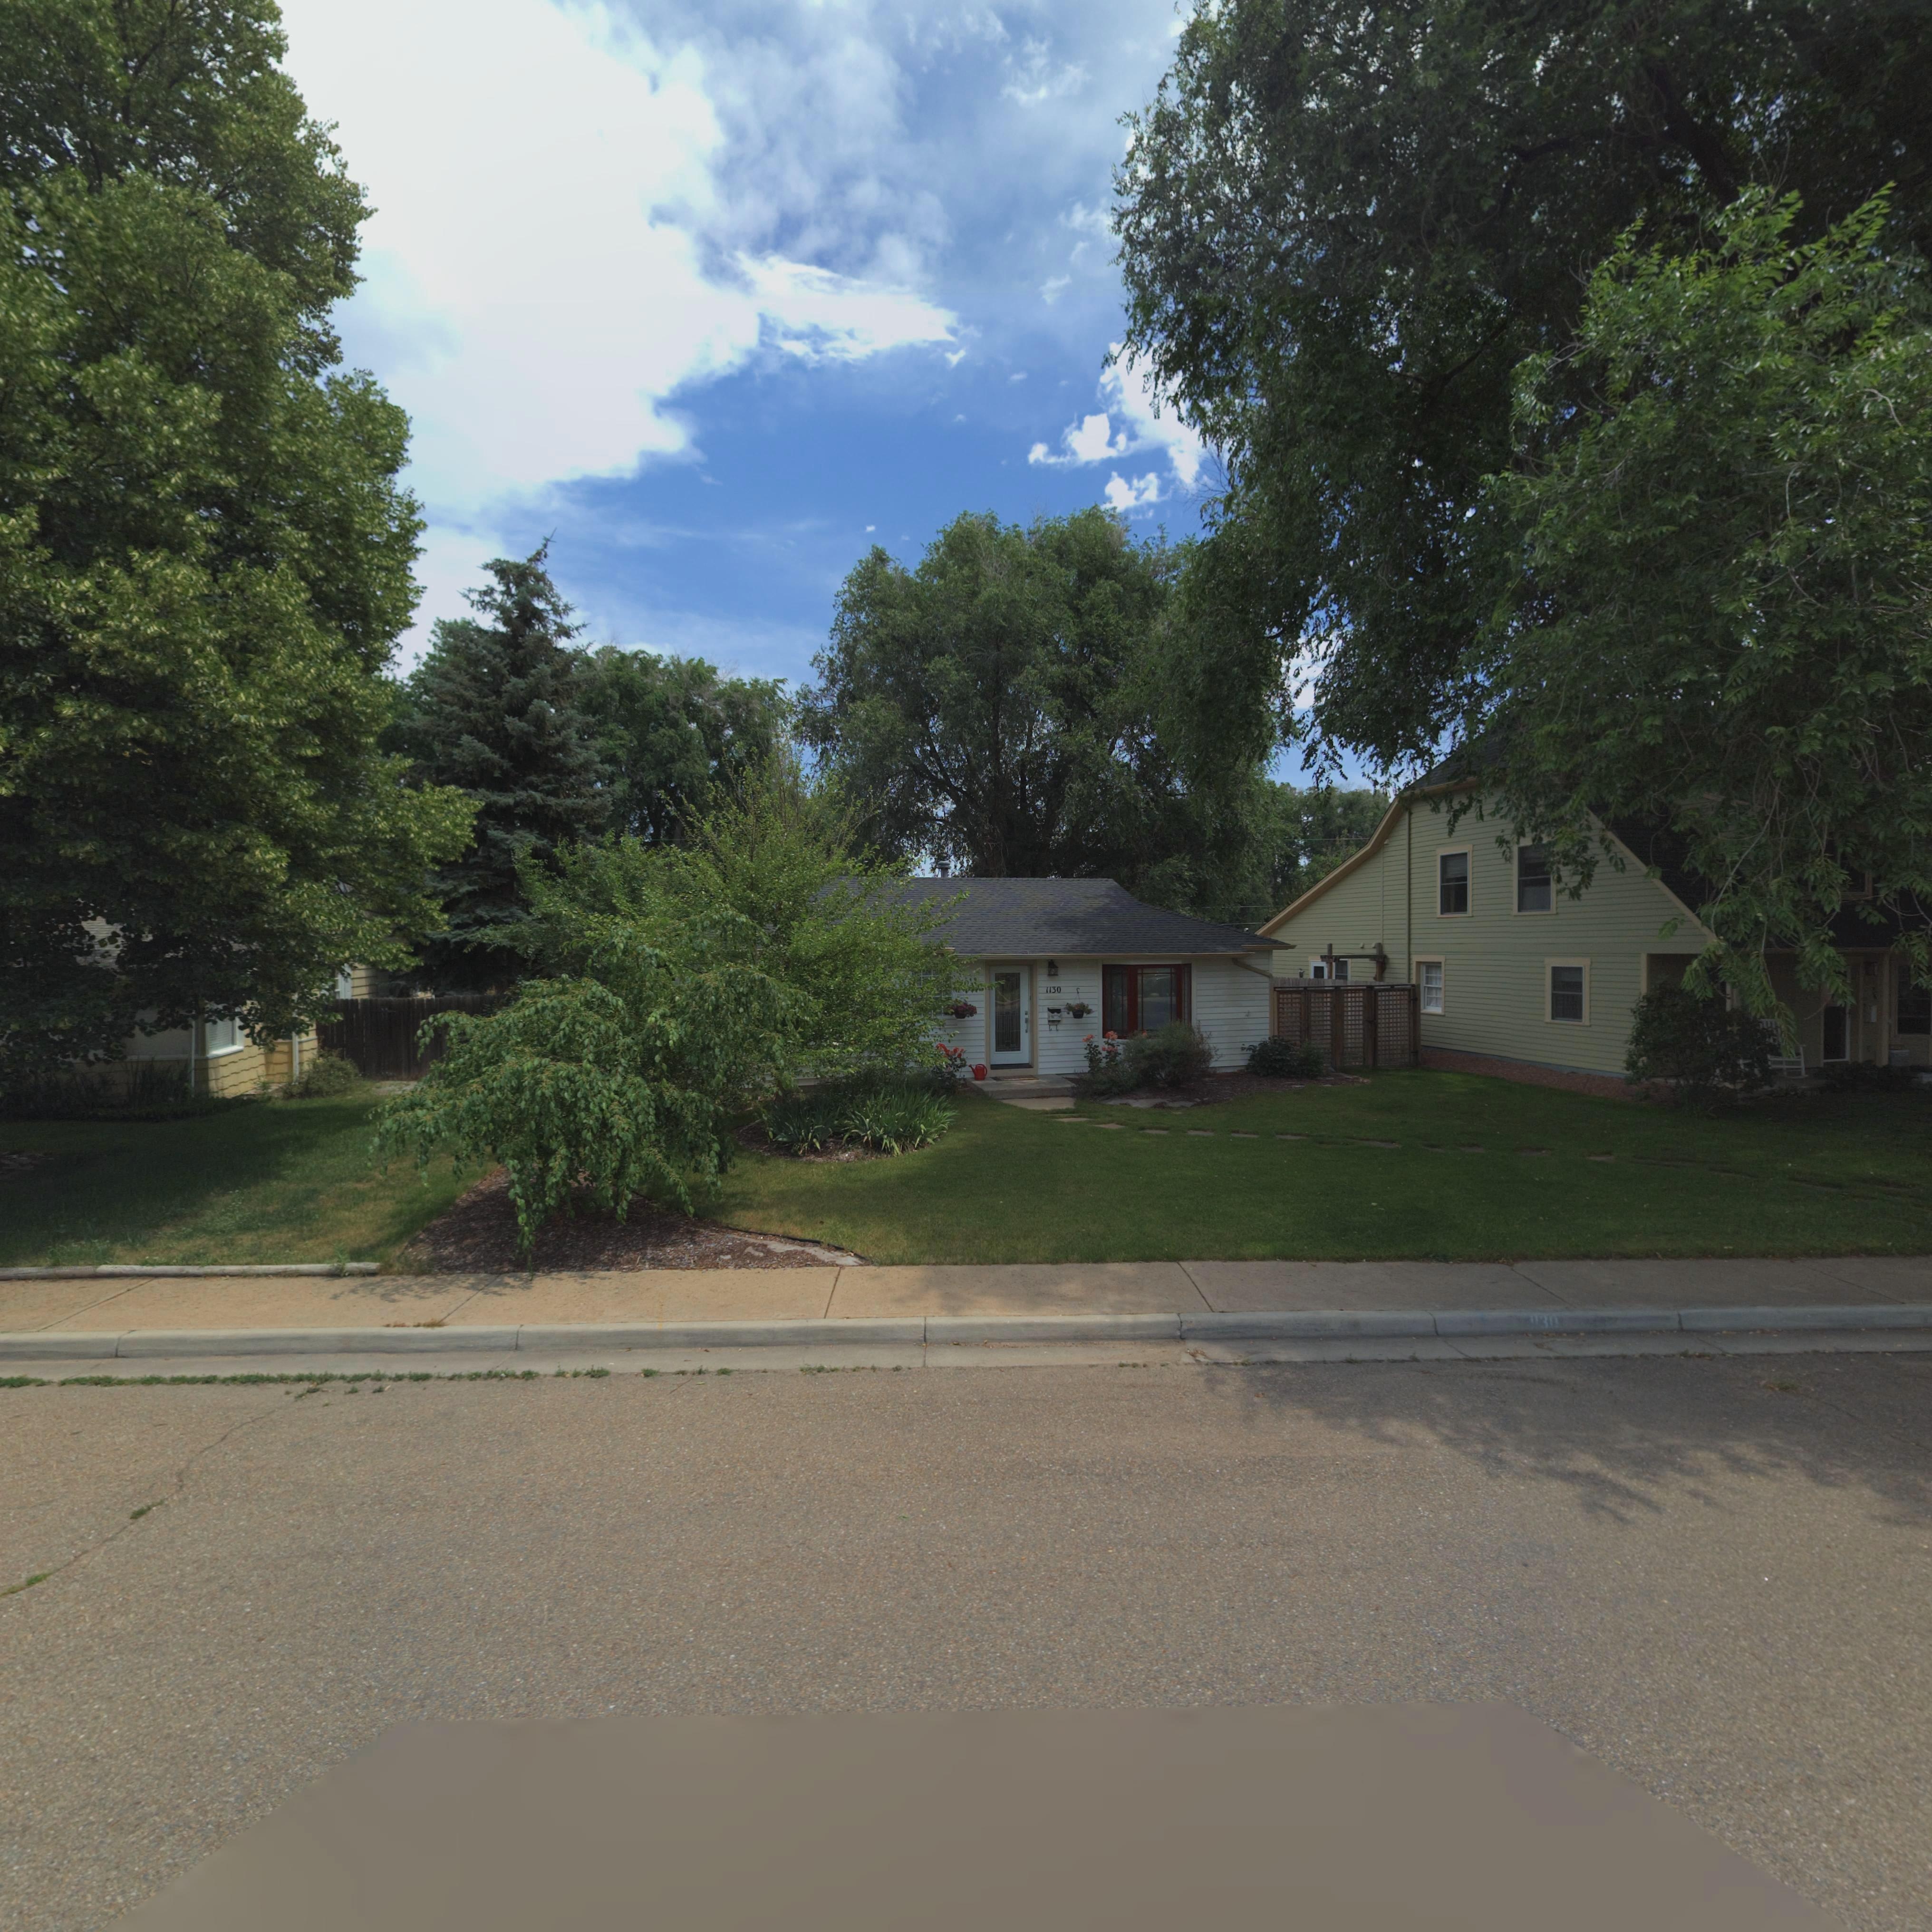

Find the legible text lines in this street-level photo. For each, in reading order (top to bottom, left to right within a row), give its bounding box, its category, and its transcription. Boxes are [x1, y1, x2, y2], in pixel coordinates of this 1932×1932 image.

[1045, 985, 1061, 993] StreetNumber: 1130